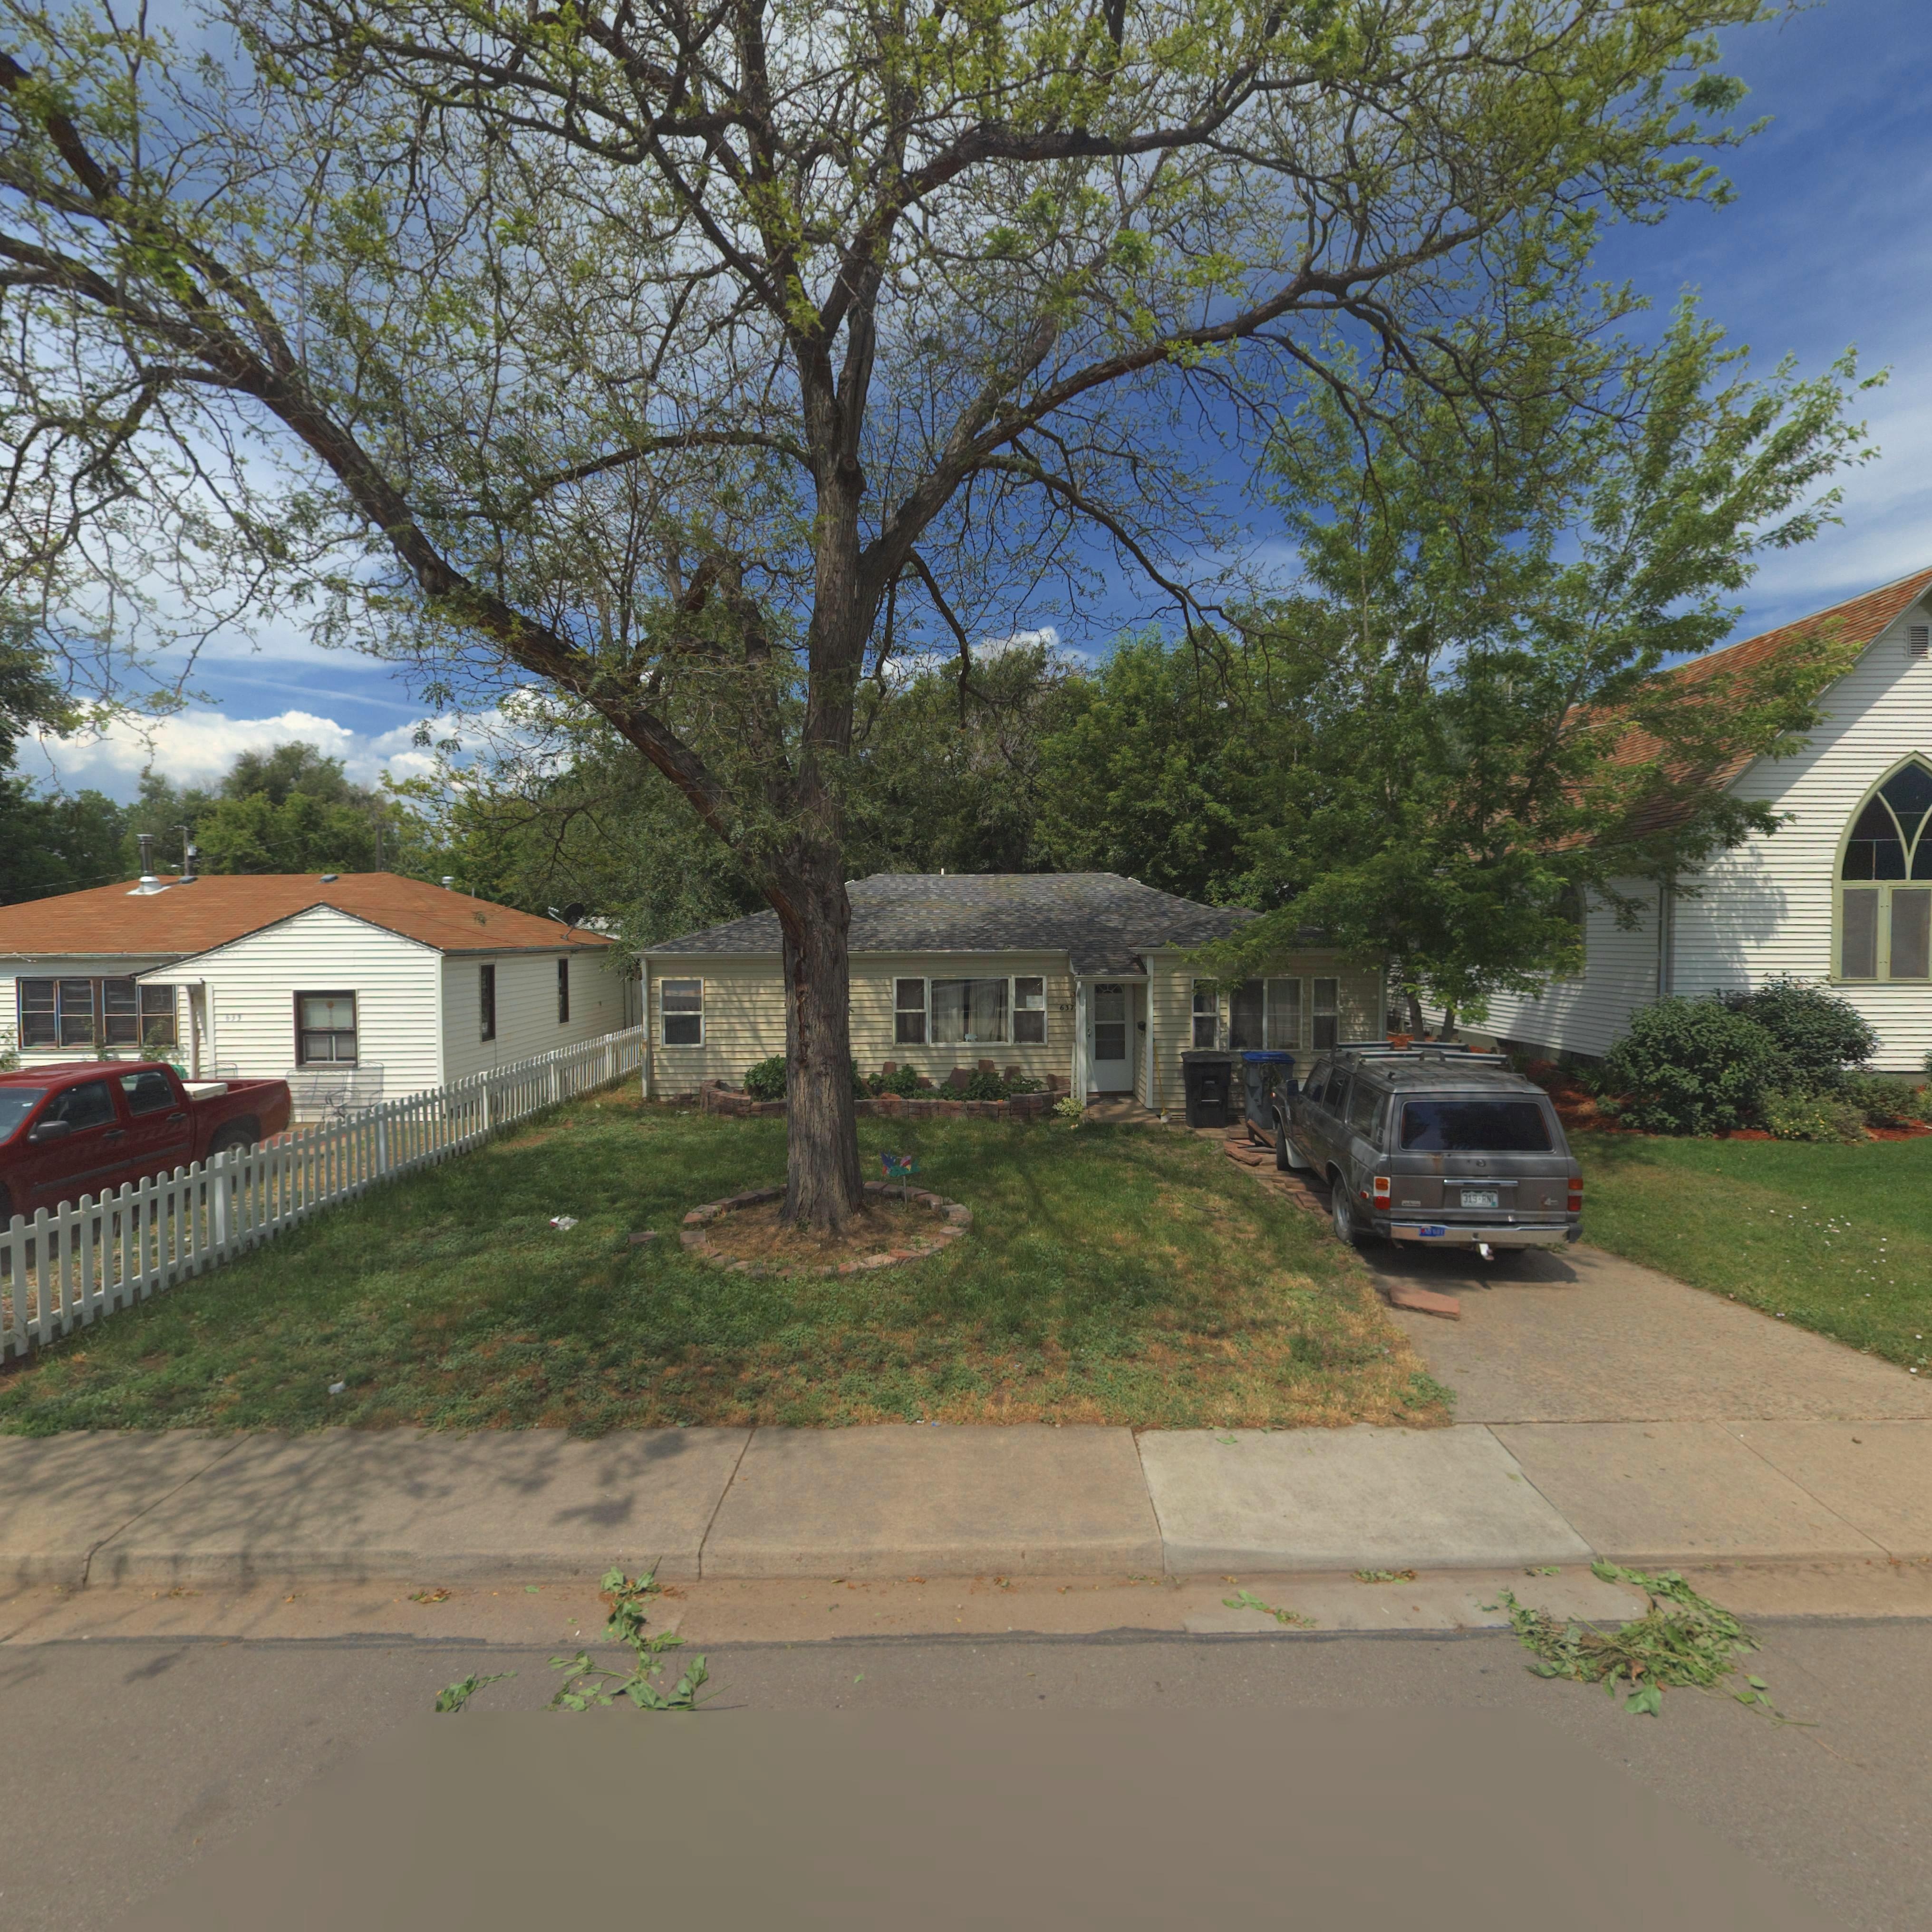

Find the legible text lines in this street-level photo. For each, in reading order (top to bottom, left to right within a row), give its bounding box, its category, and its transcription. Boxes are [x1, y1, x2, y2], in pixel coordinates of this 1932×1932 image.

[1060, 1004, 1074, 1010] StreetNumber: 637
[225, 1014, 241, 1021] StreetNumber: 633